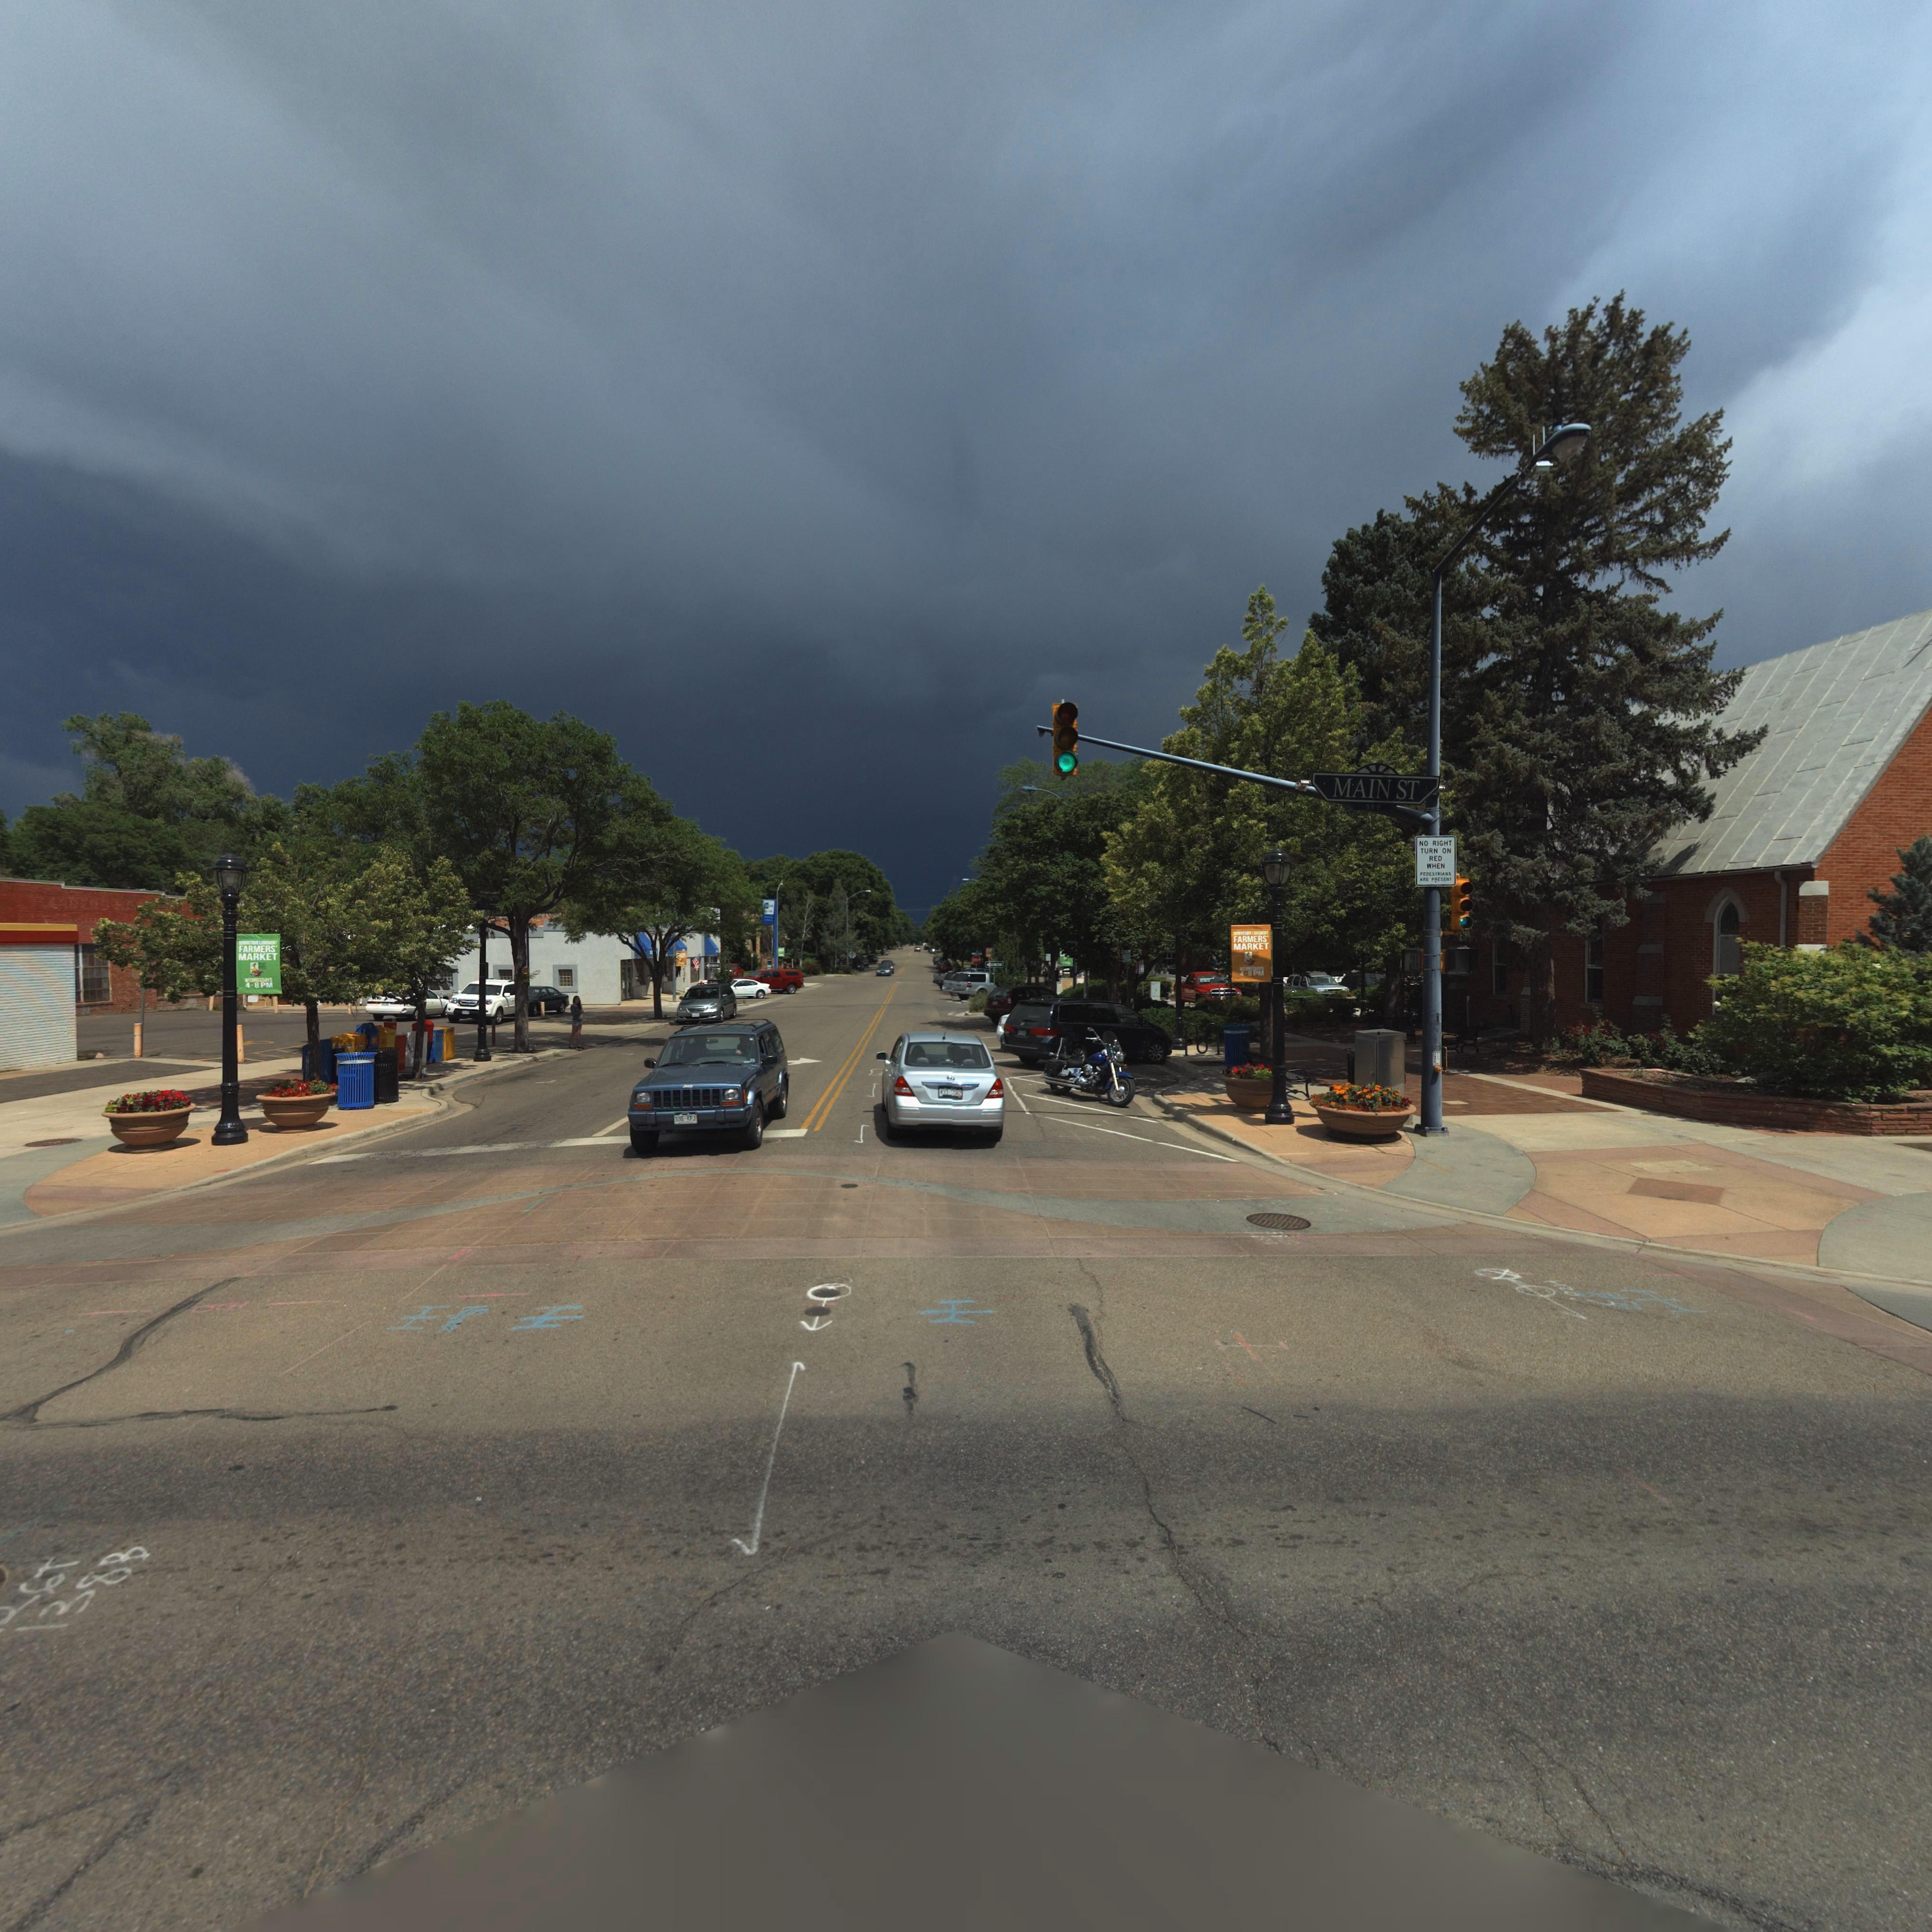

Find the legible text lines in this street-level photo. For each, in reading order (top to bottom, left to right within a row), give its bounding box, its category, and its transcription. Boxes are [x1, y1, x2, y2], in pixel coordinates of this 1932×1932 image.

[1332, 777, 1420, 800] StreetName: MAIN ST
[1365, 803, 1381, 810] StreetNumber: 500